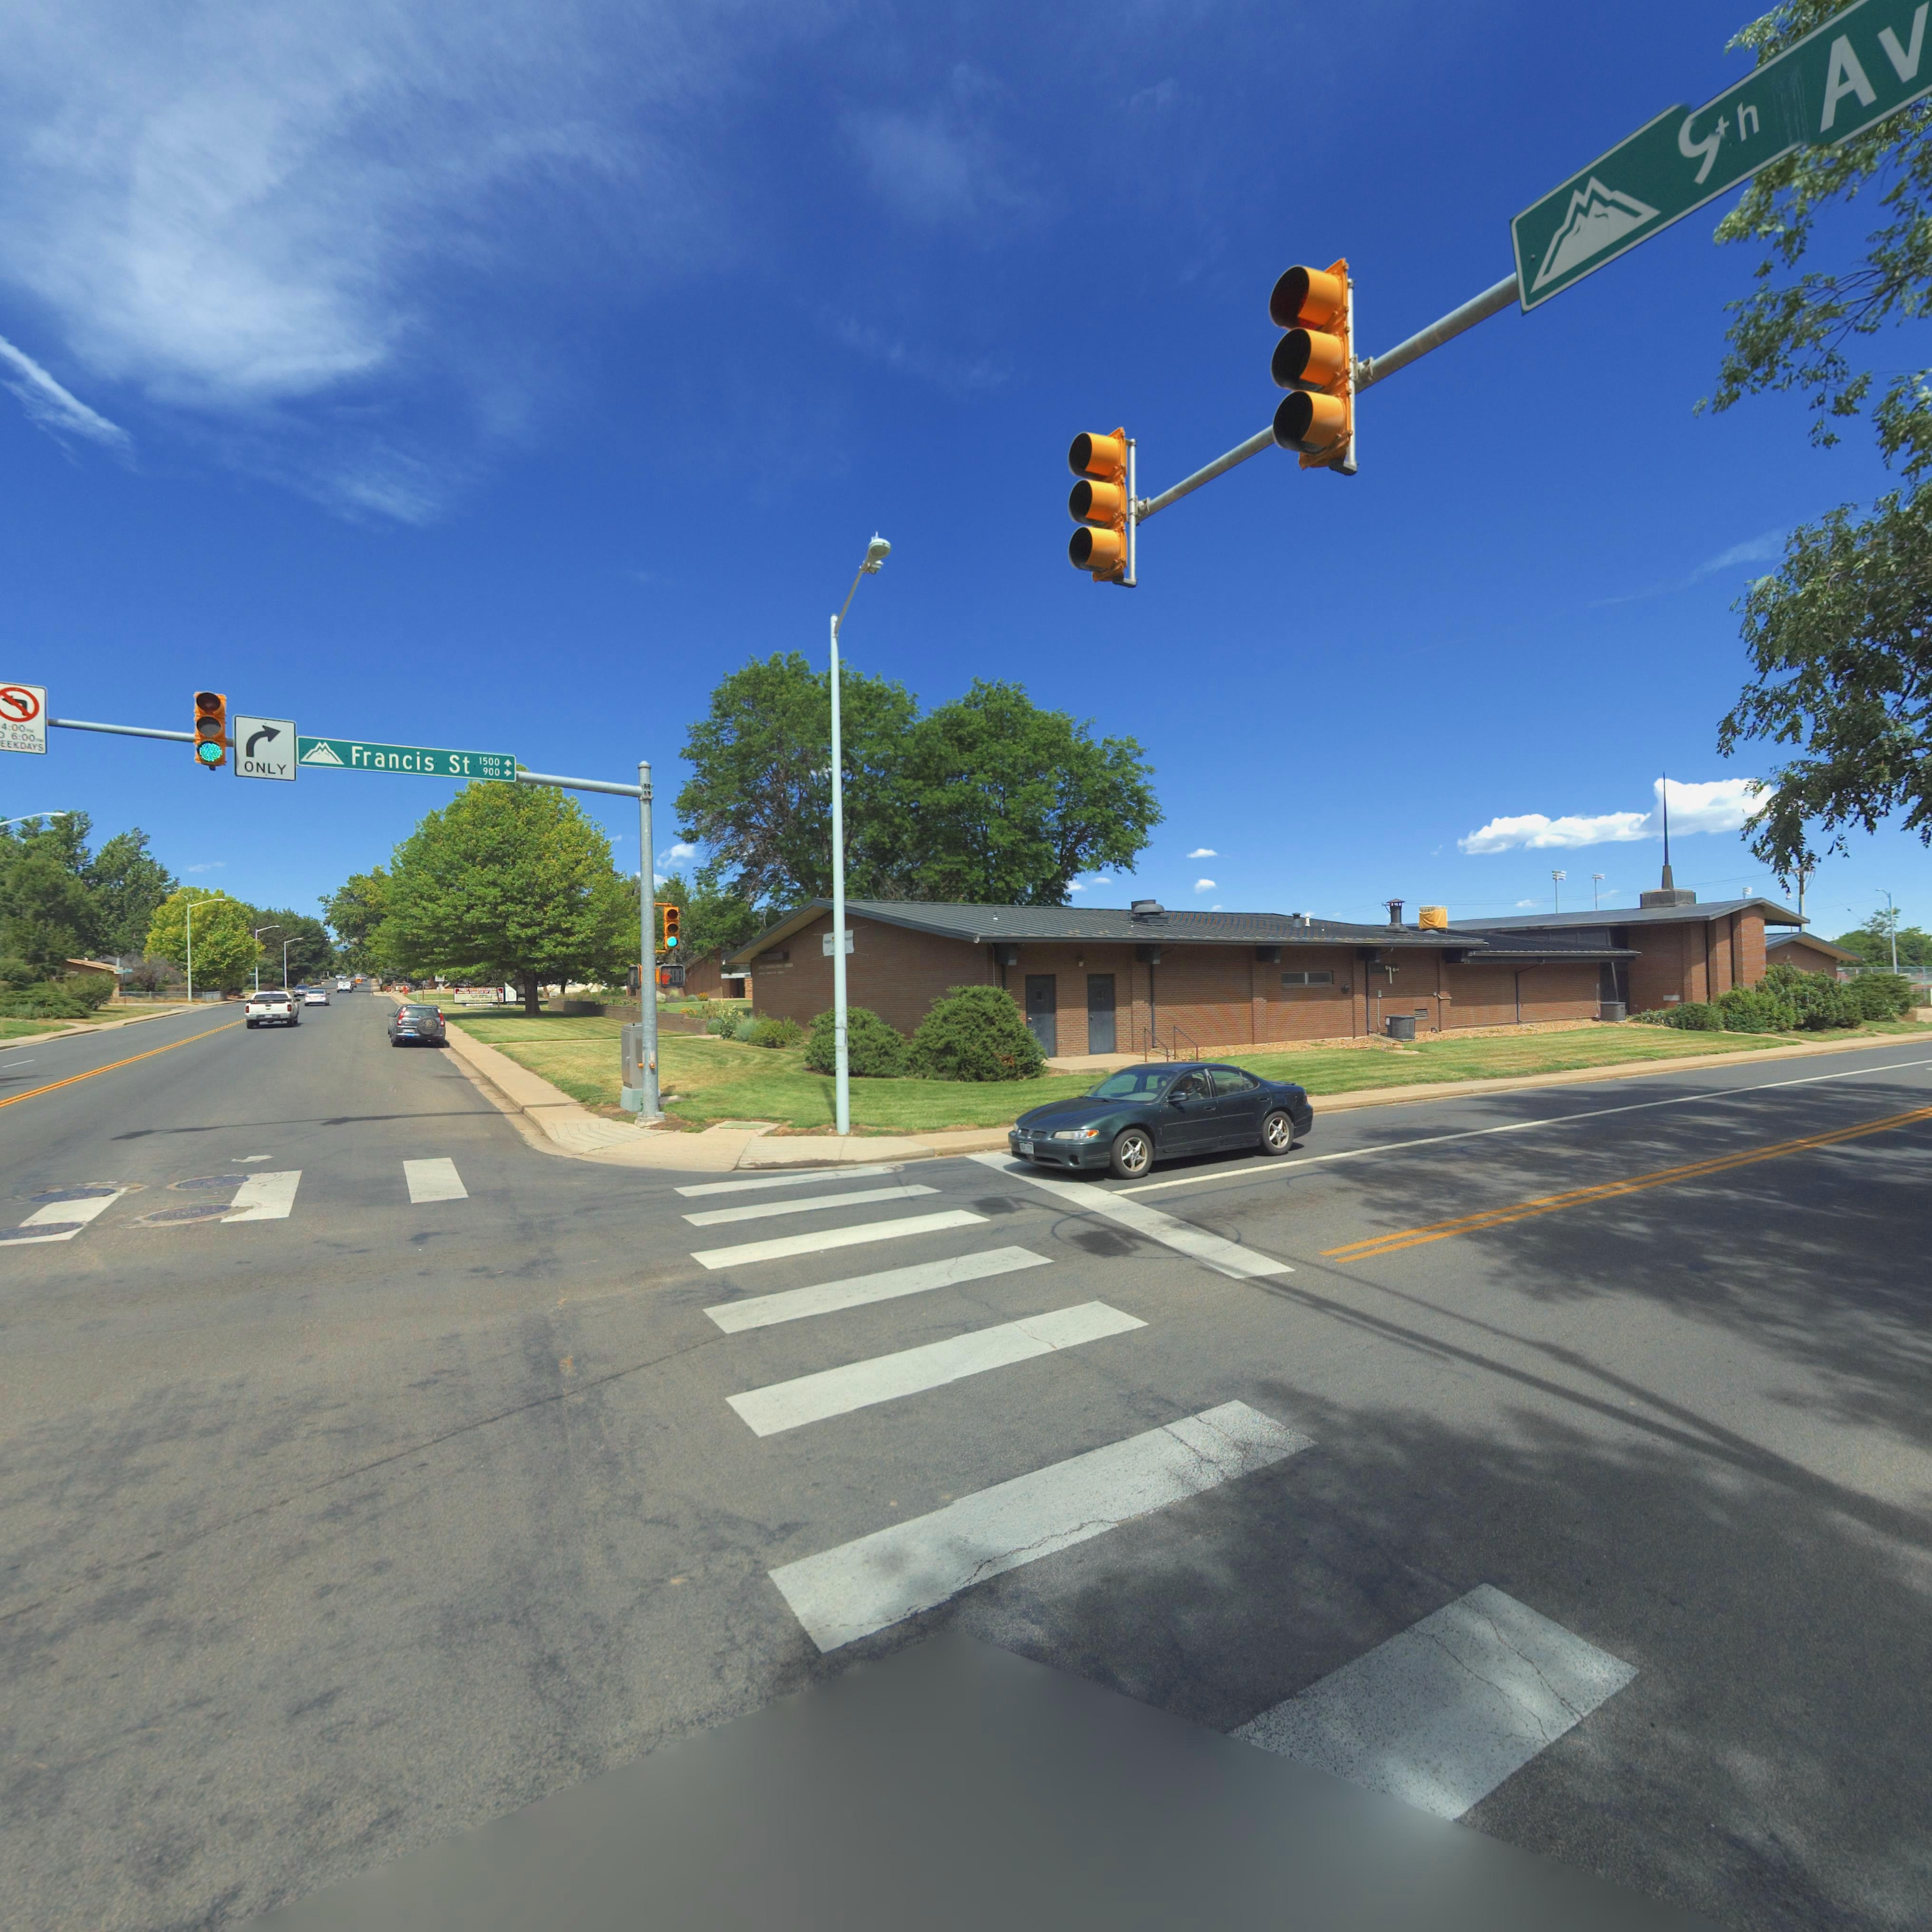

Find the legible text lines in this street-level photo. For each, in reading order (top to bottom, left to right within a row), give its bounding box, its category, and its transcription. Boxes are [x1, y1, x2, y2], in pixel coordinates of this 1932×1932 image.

[1676, 0, 1930, 187] StreetName: *h Av
[351, 744, 471, 774] StreetName: Francis St
[478, 756, 500, 766] StreetNumberRange: 1500
[482, 766, 512, 777] StreetNumberRange: 900->